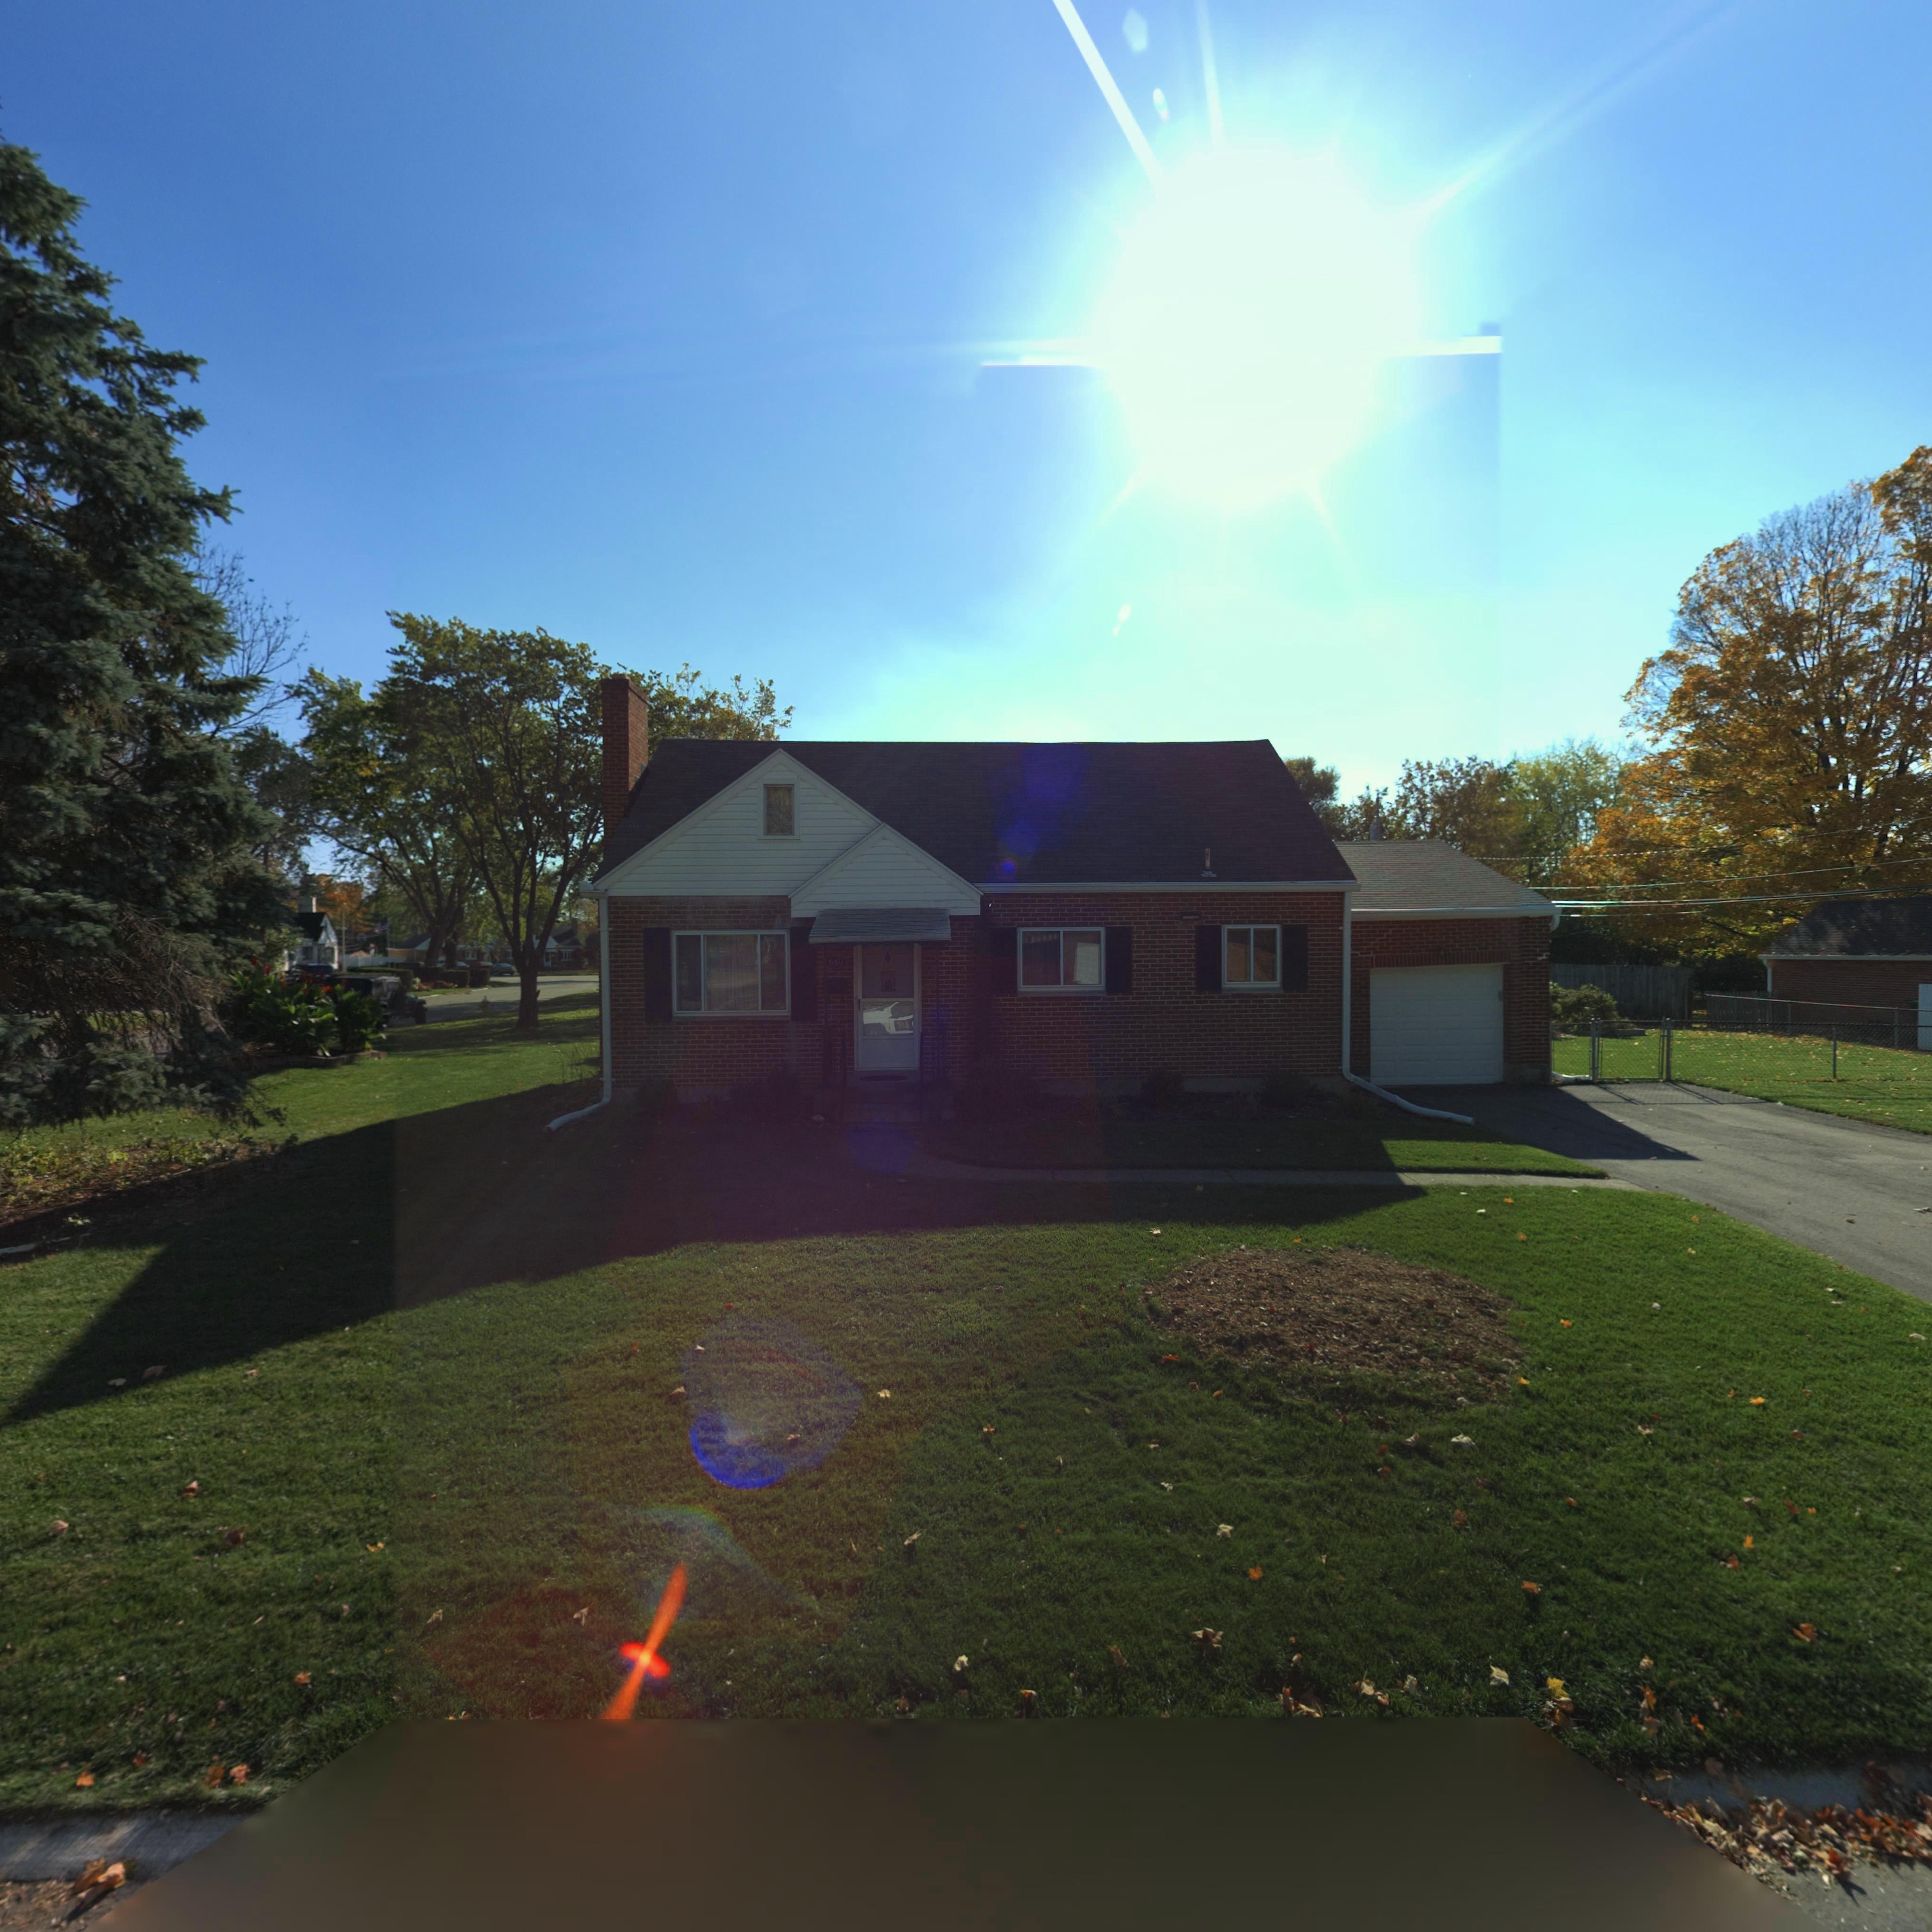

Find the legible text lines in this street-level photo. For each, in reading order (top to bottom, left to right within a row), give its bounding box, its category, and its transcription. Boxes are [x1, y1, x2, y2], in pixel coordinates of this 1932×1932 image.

[828, 957, 844, 967] StreetNumber: 640